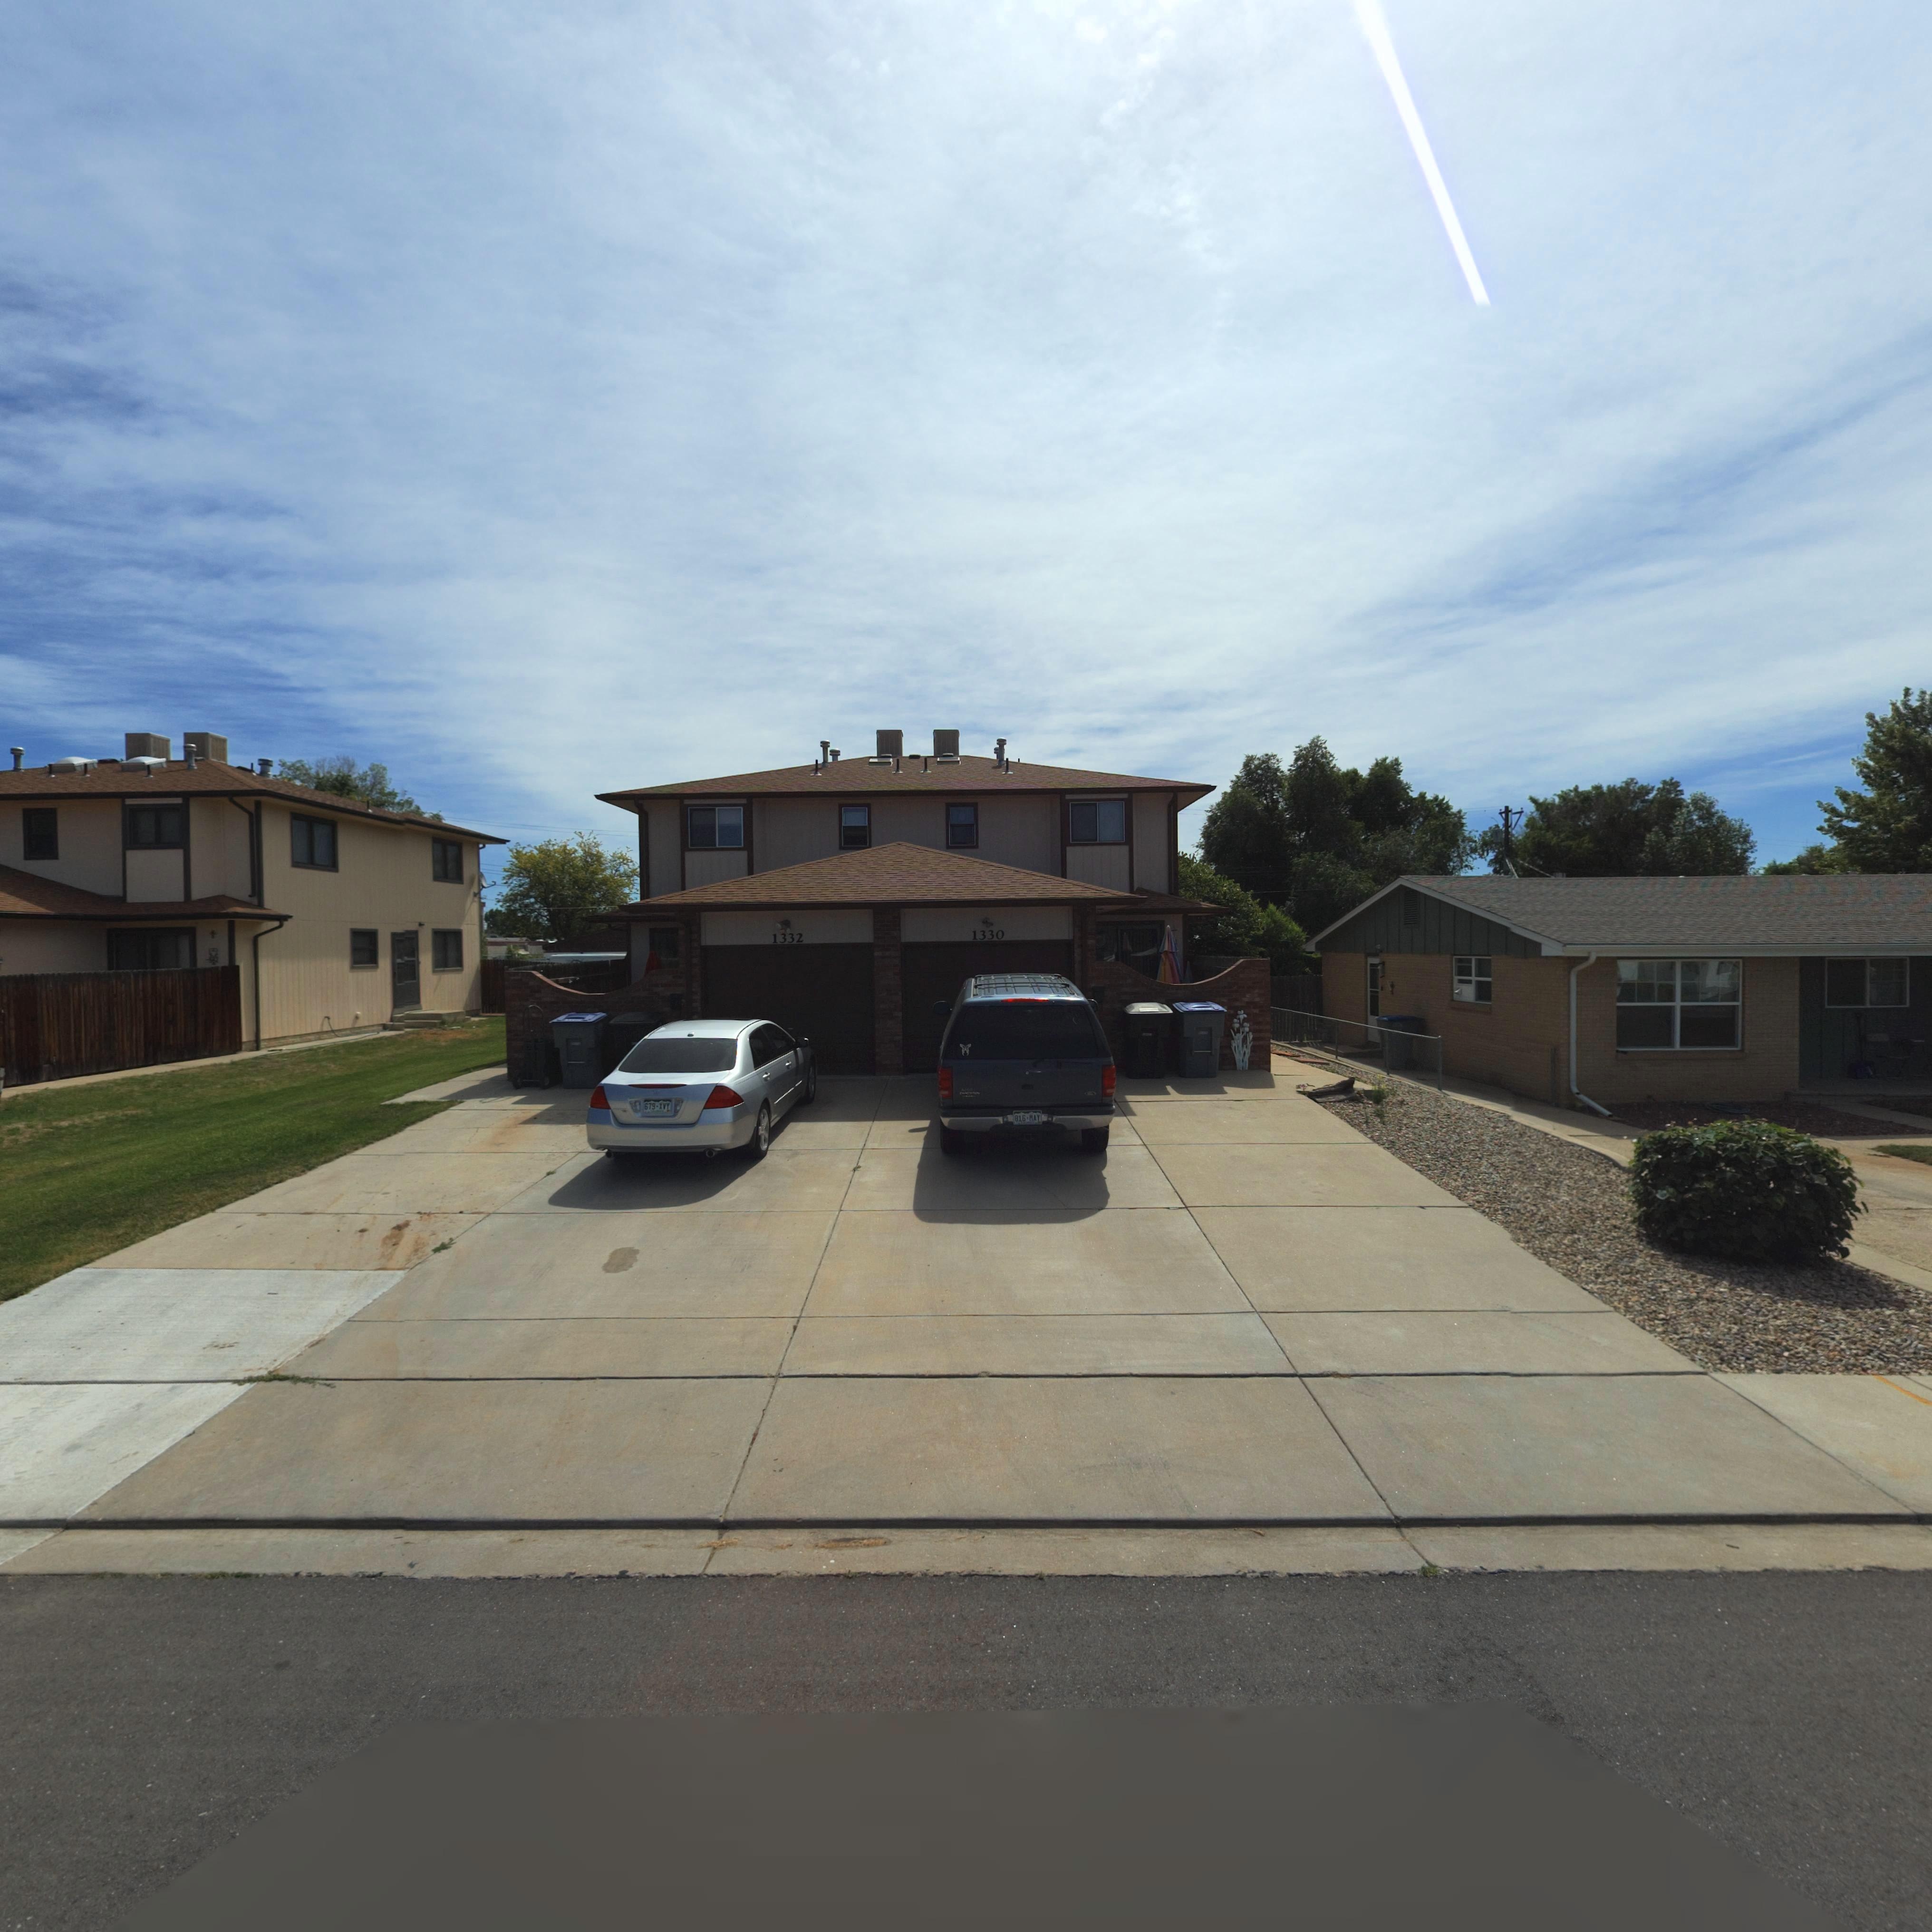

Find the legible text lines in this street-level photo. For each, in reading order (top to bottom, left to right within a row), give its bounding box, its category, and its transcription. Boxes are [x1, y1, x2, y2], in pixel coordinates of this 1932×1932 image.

[772, 932, 804, 944] StreetNumber: 1332
[972, 929, 1005, 940] StreetNumber: 1330